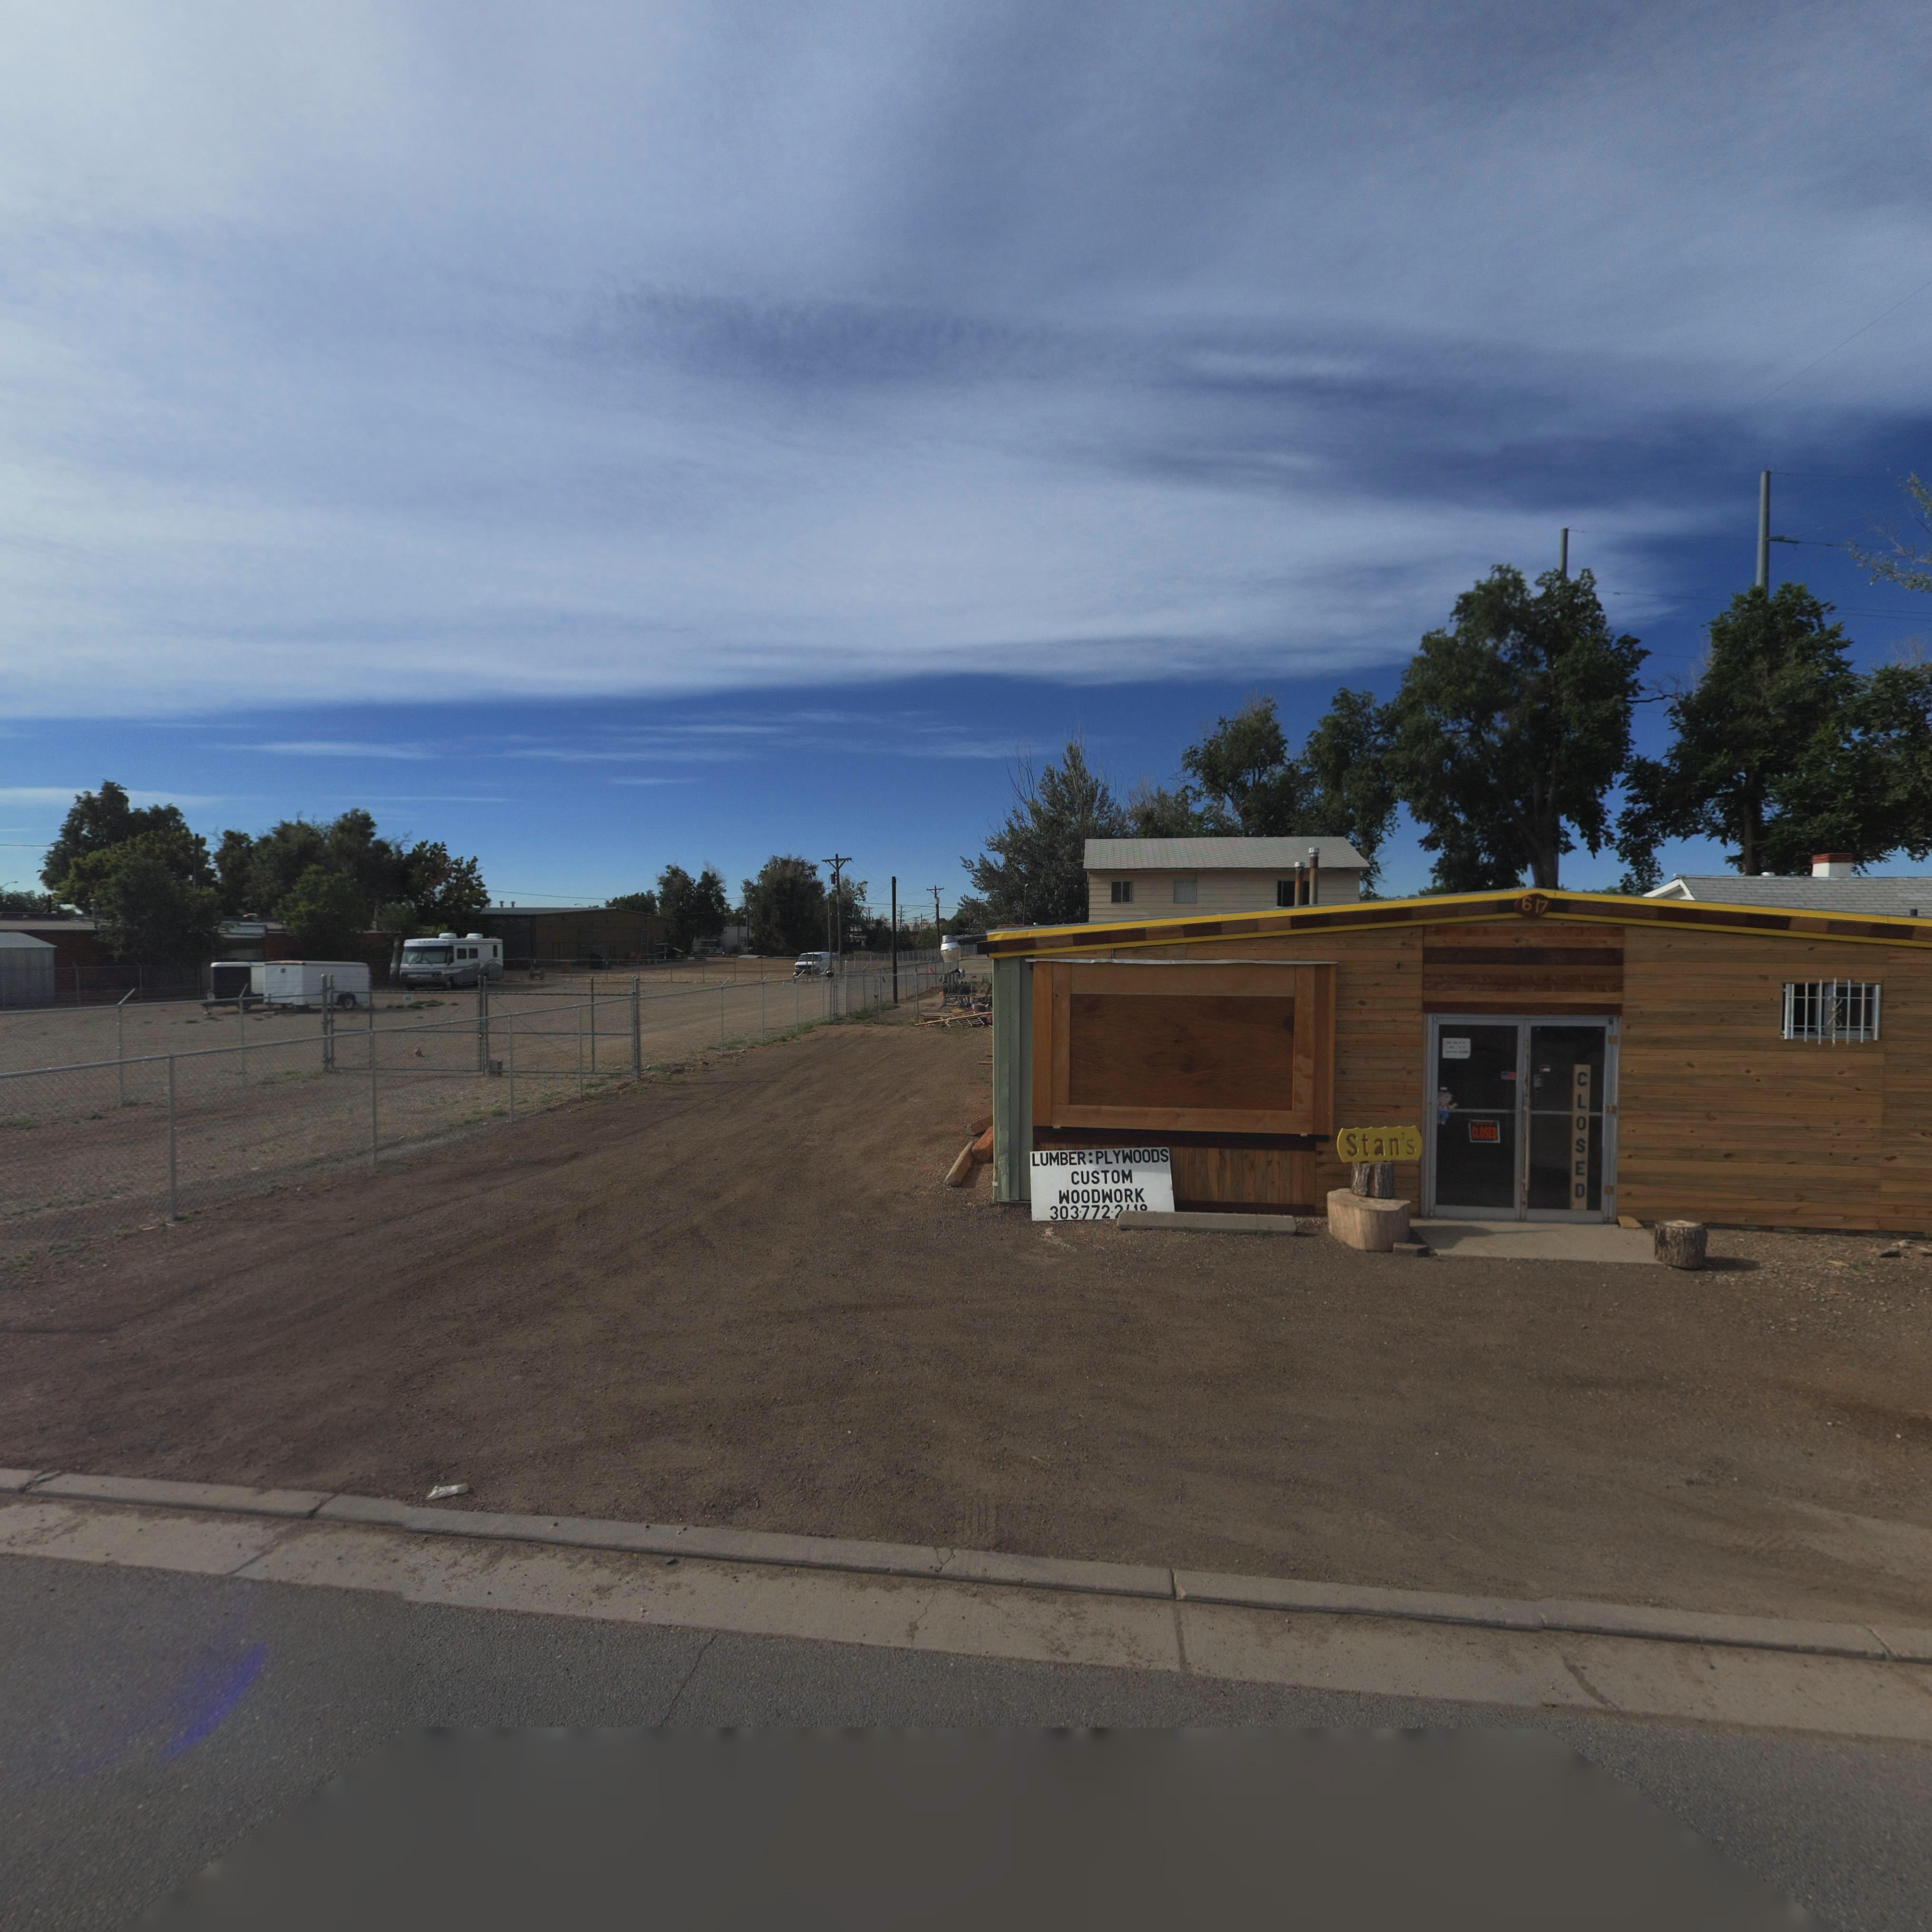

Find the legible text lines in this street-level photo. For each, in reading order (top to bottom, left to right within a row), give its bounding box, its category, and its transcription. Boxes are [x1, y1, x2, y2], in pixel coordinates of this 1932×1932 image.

[1521, 895, 1549, 915] StreetNumber: 617
[1343, 1130, 1418, 1158] BusinessName: Stan's